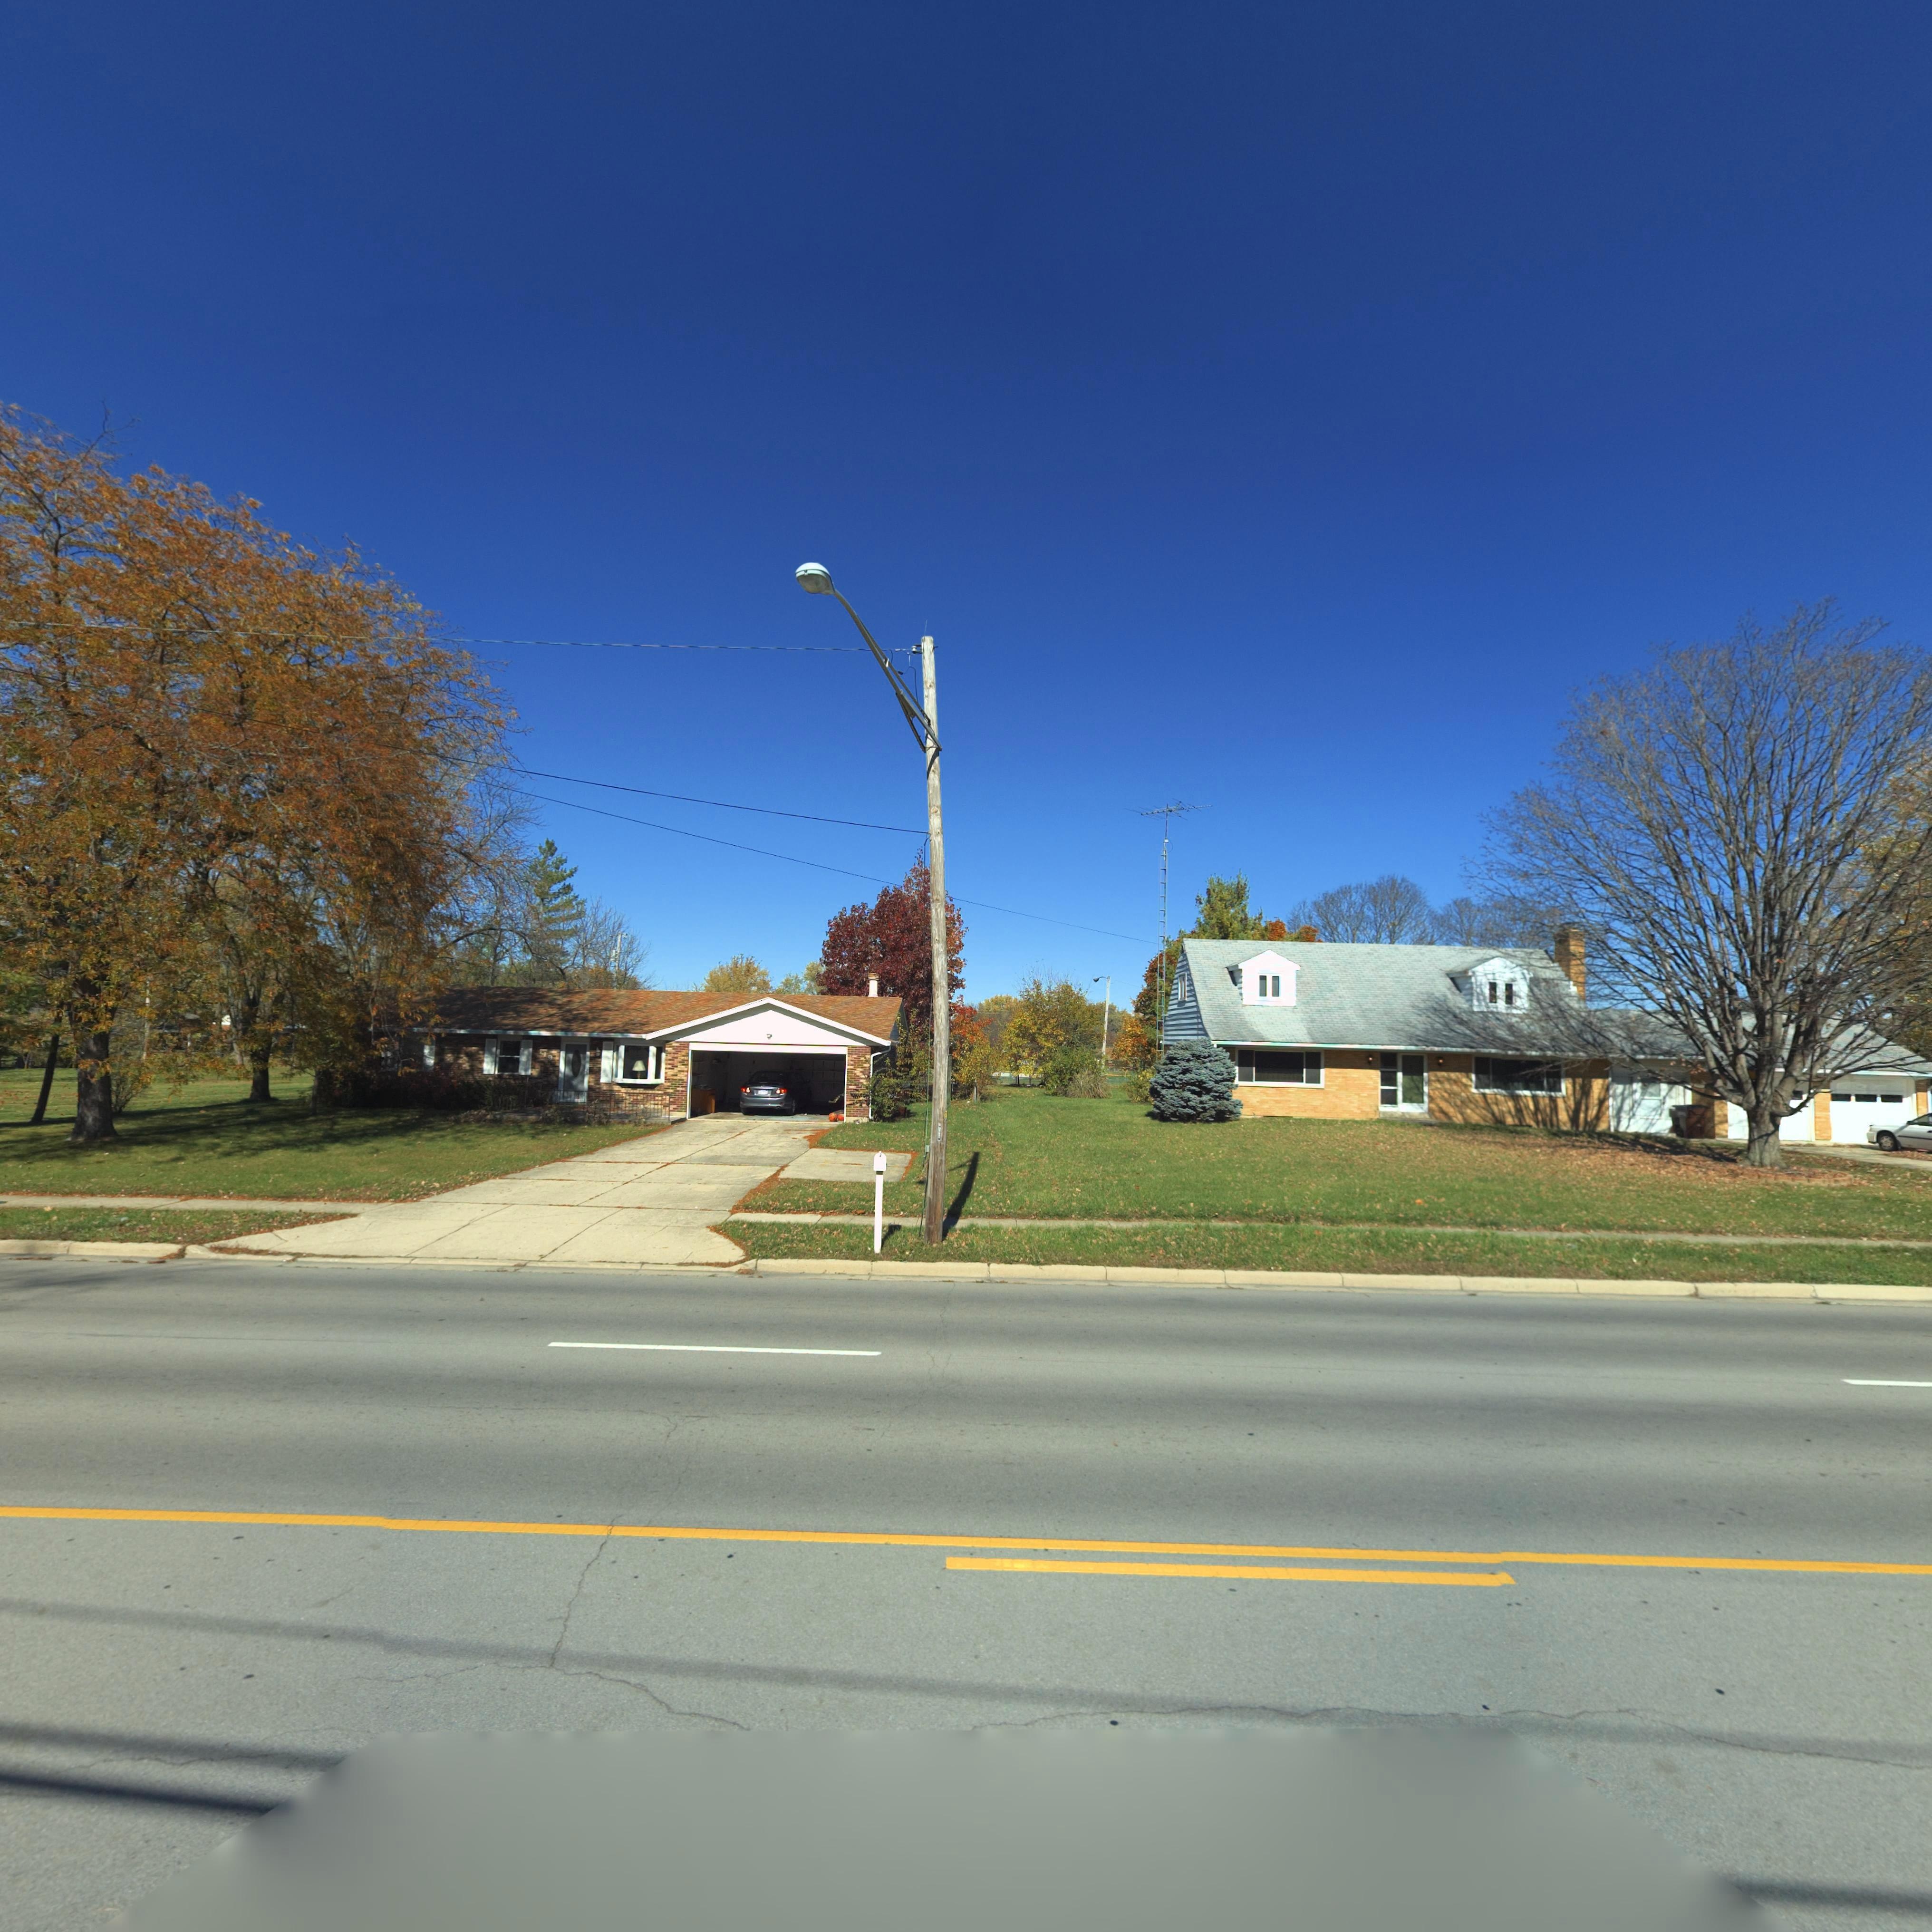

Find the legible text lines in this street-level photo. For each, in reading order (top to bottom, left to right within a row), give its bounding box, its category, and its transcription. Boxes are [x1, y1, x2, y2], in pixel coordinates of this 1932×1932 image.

[536, 1048, 554, 1061] StreetNumber: *19